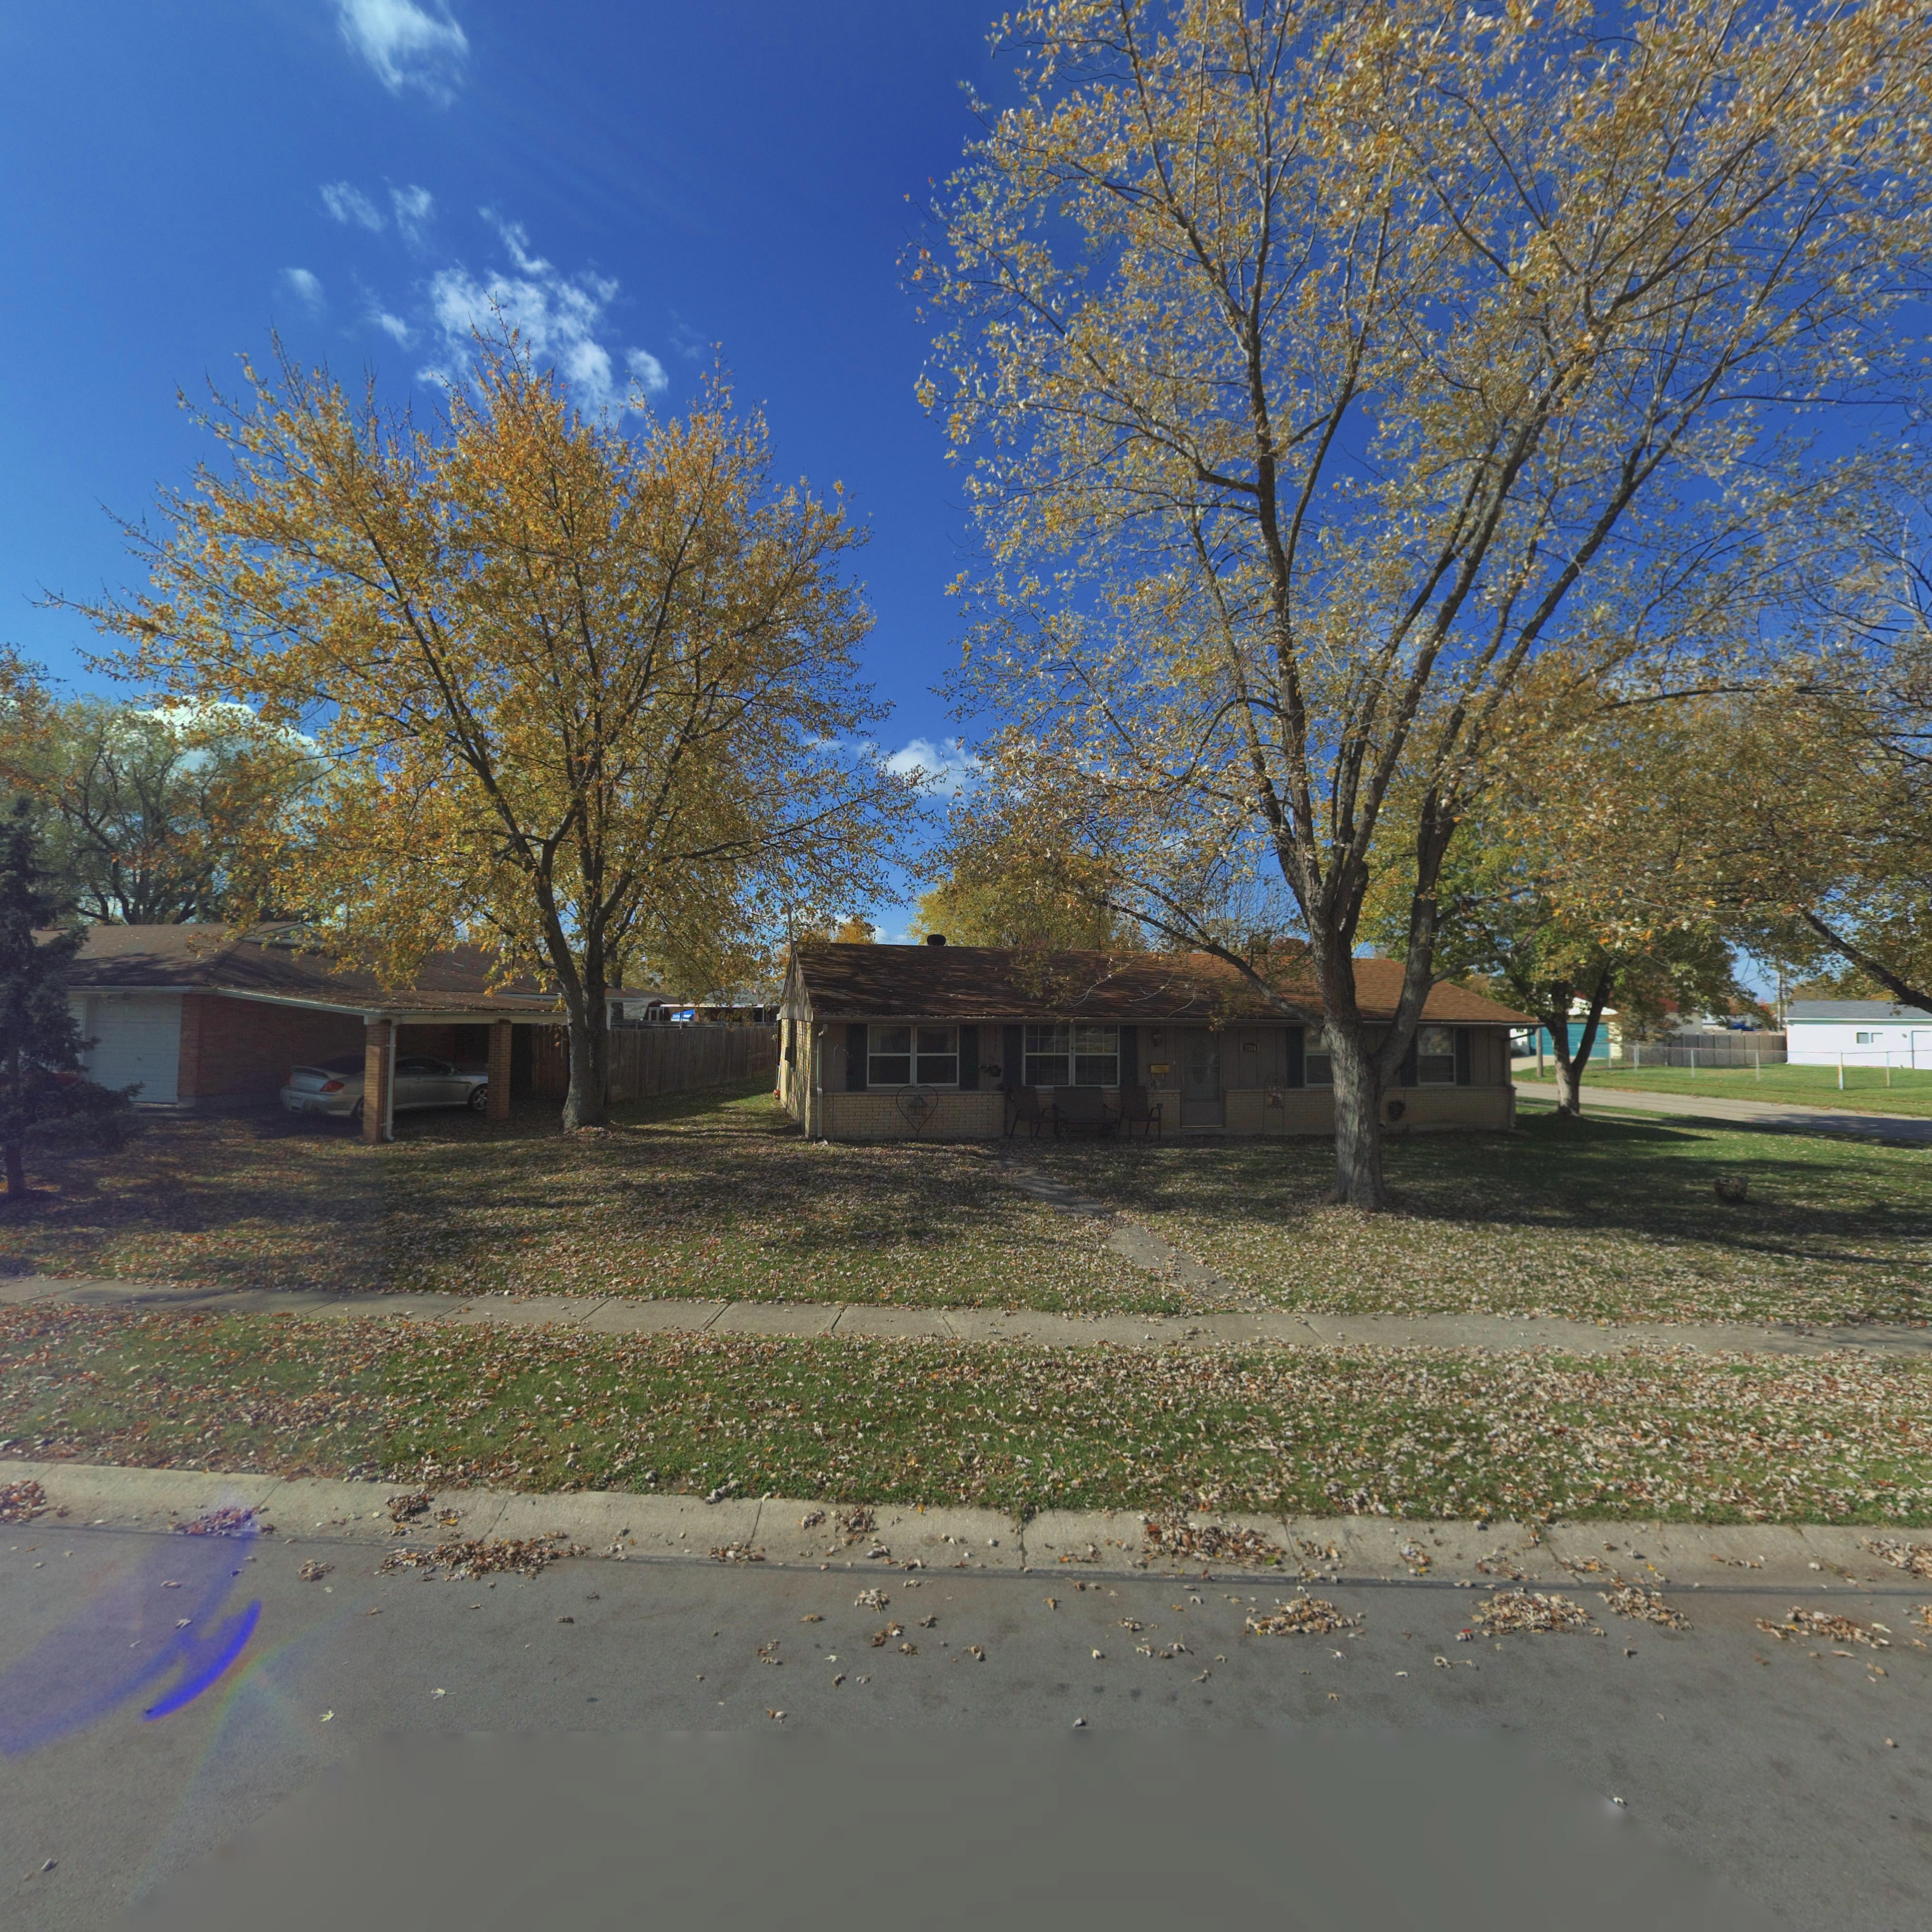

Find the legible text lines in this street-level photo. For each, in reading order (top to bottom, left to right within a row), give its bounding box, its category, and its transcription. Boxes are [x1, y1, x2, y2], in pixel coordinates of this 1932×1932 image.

[1244, 1044, 1257, 1052] StreetNumber: 77**